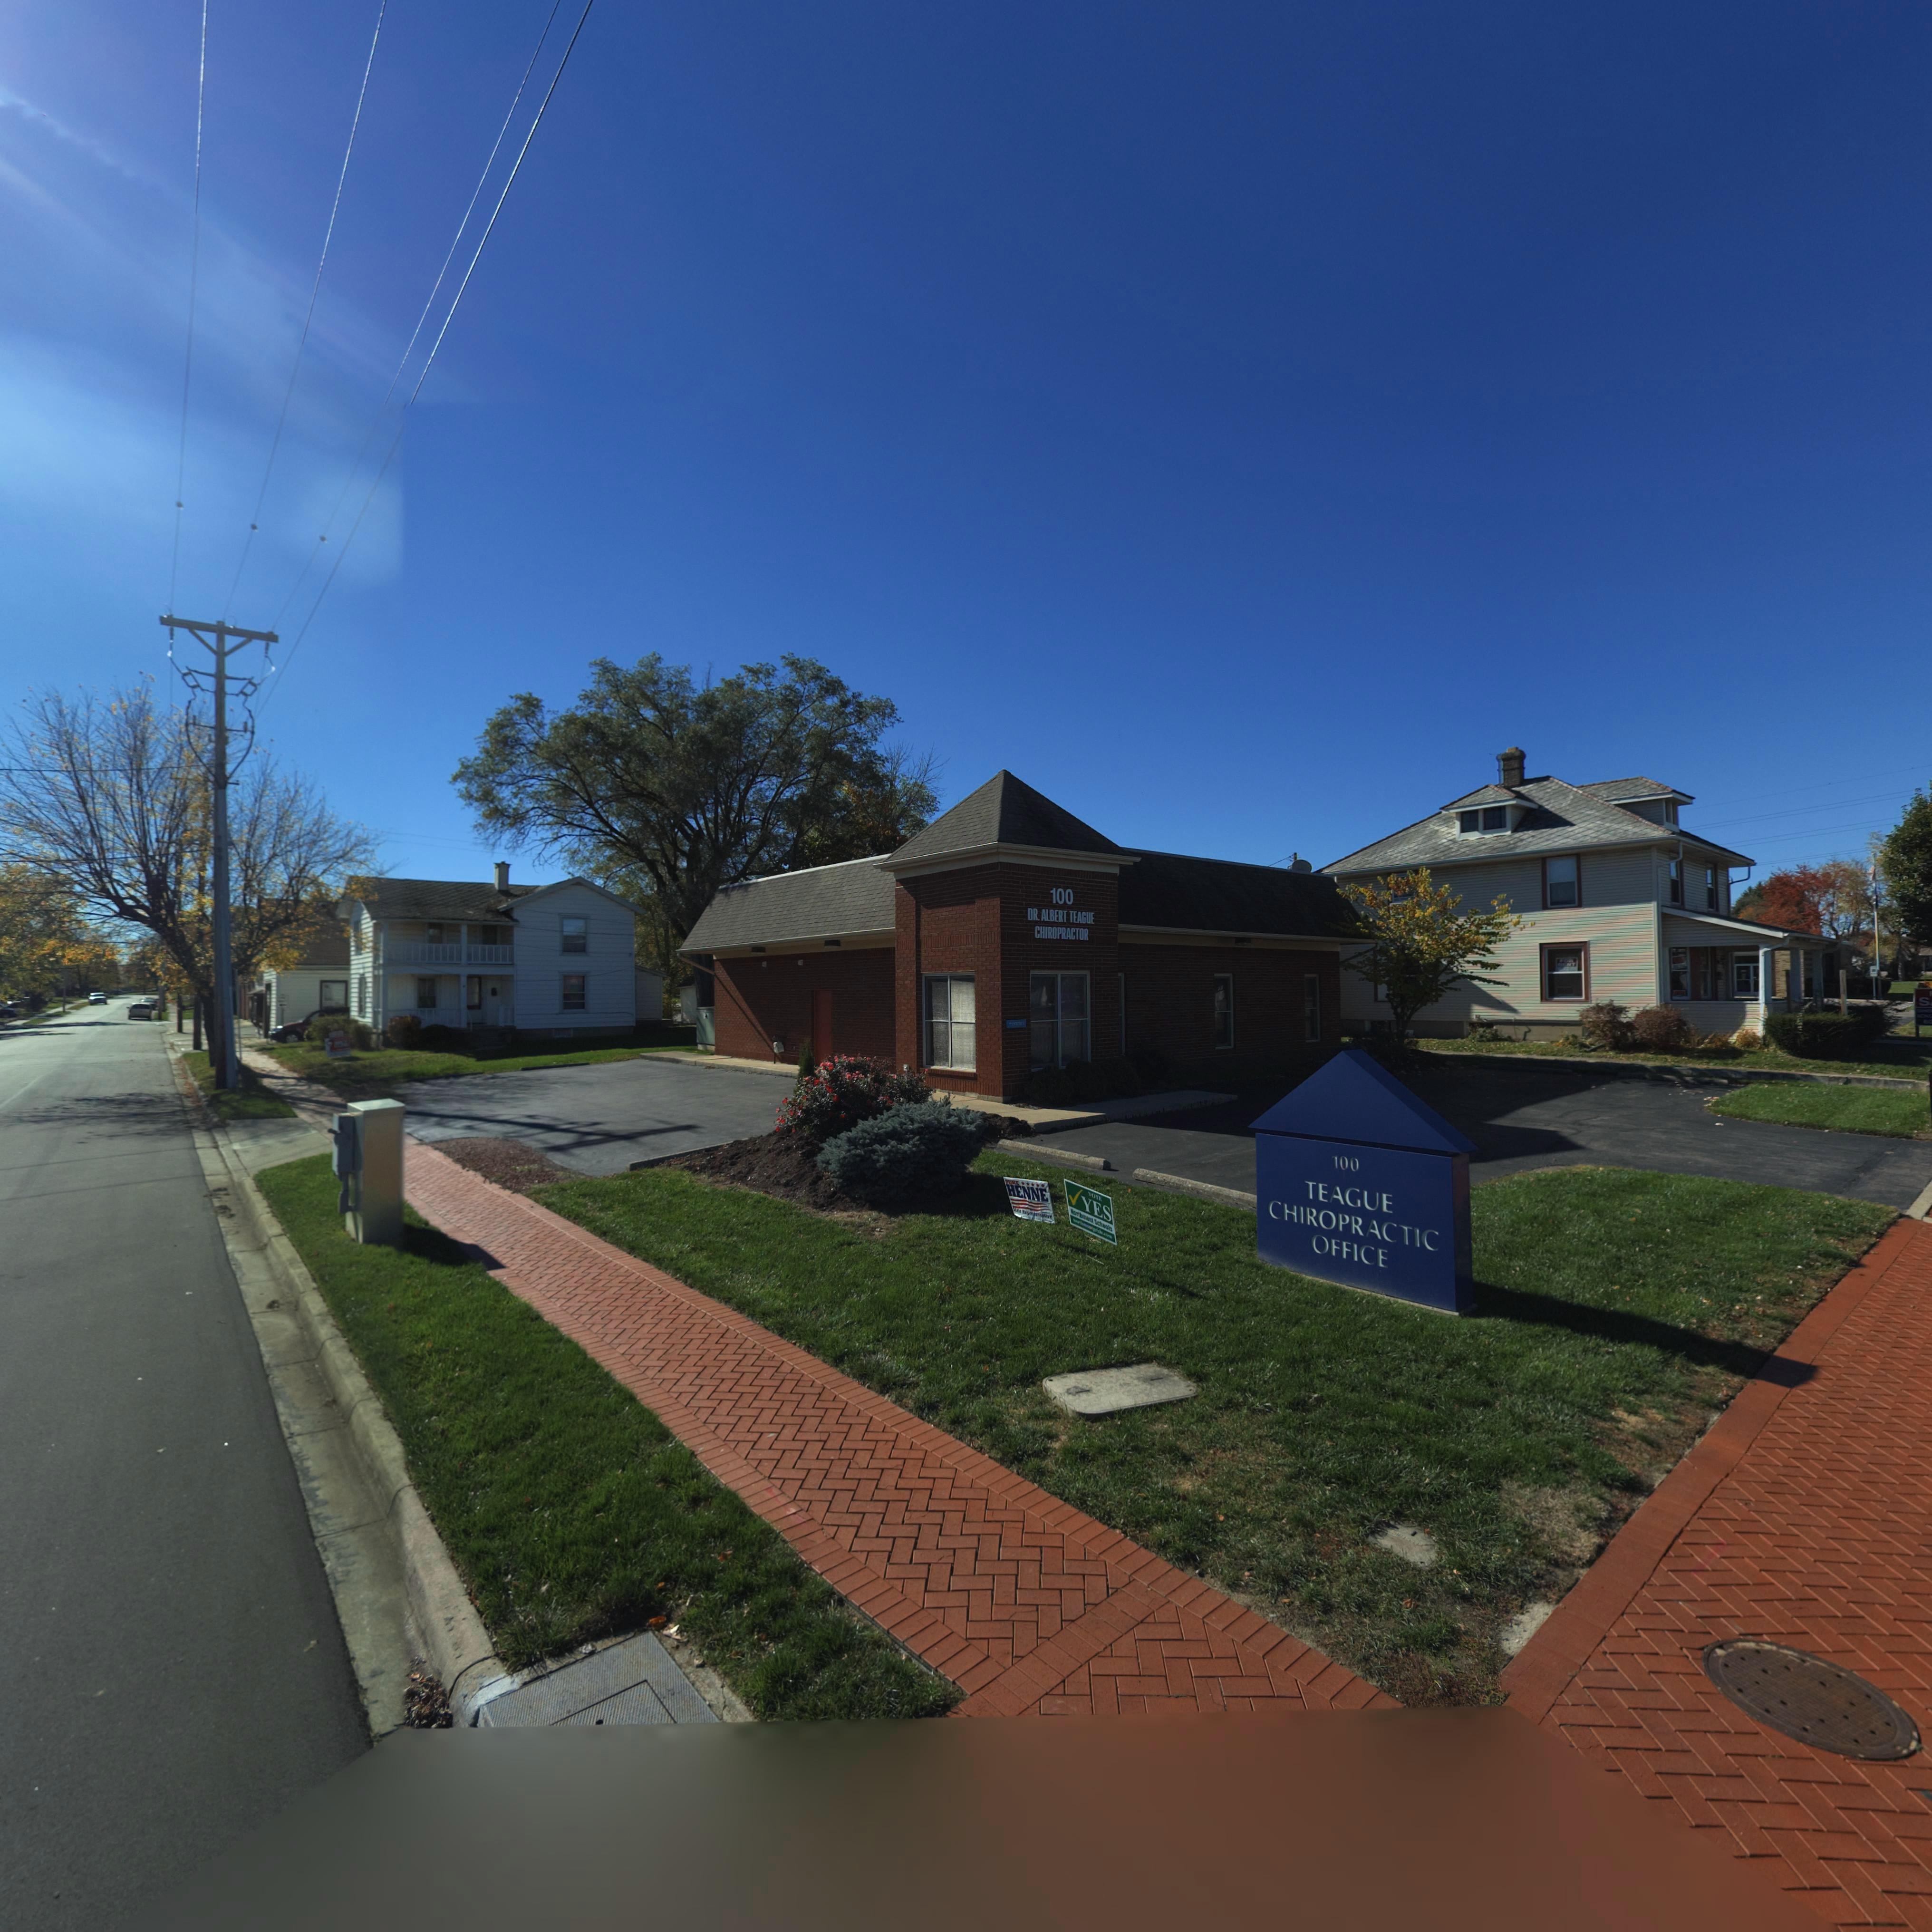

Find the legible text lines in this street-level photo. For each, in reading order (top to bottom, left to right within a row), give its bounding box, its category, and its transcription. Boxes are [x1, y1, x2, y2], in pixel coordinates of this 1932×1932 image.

[1049, 888, 1074, 905] StreetNumber: 100
[1027, 907, 1095, 925] BusinessName: DR. ALBERT TEAGUE
[1034, 925, 1089, 941] BusinessName: CHIROPRACTOR
[1331, 1154, 1359, 1173] StreetNumber: 100
[1005, 1183, 1049, 1203] None: HENNE
[1087, 1190, 1103, 1203] None: VOTE
[1303, 1179, 1394, 1216] BusinessName: TEAGUE
[1080, 1194, 1112, 1222] None: YES
[1266, 1198, 1441, 1254] BusinessName: CHIROPRACTIC
[1309, 1233, 1389, 1270] BusinessName: OFFICE